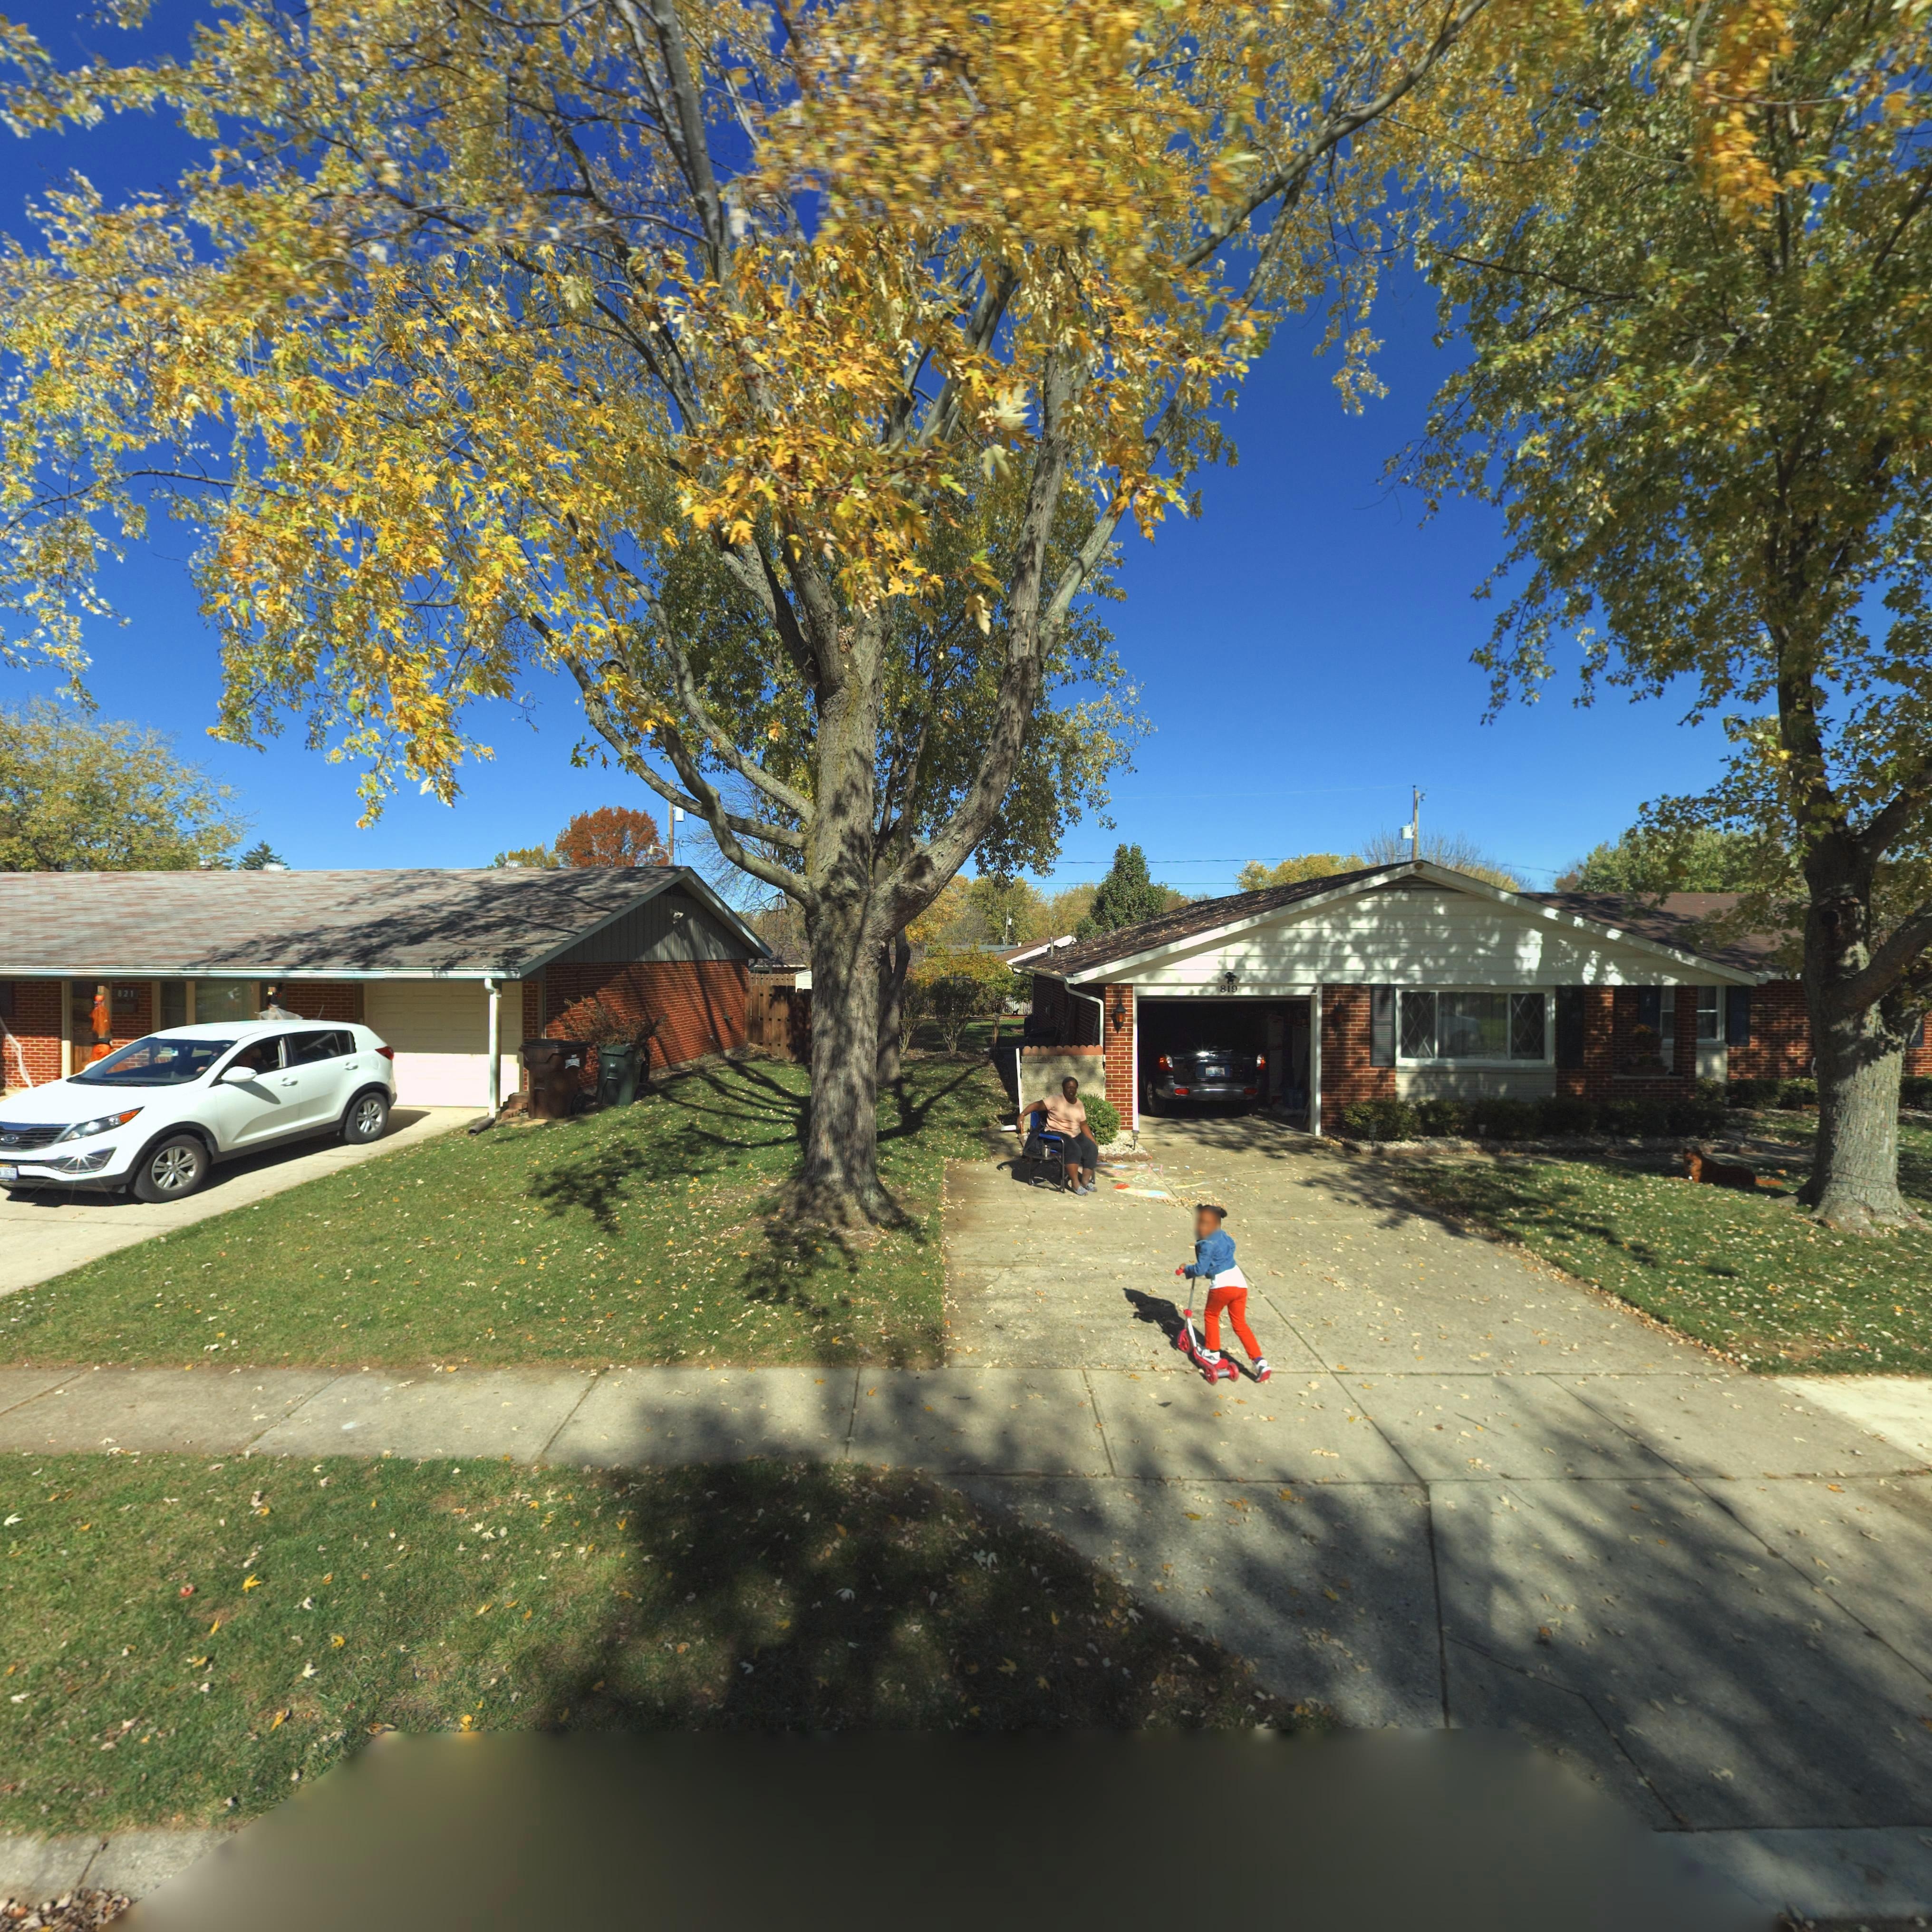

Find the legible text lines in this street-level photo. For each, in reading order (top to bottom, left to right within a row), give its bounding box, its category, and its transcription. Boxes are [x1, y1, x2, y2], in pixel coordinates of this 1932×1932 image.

[1219, 984, 1238, 993] StreetNumber: 819
[117, 989, 134, 998] StreetNumber: 821